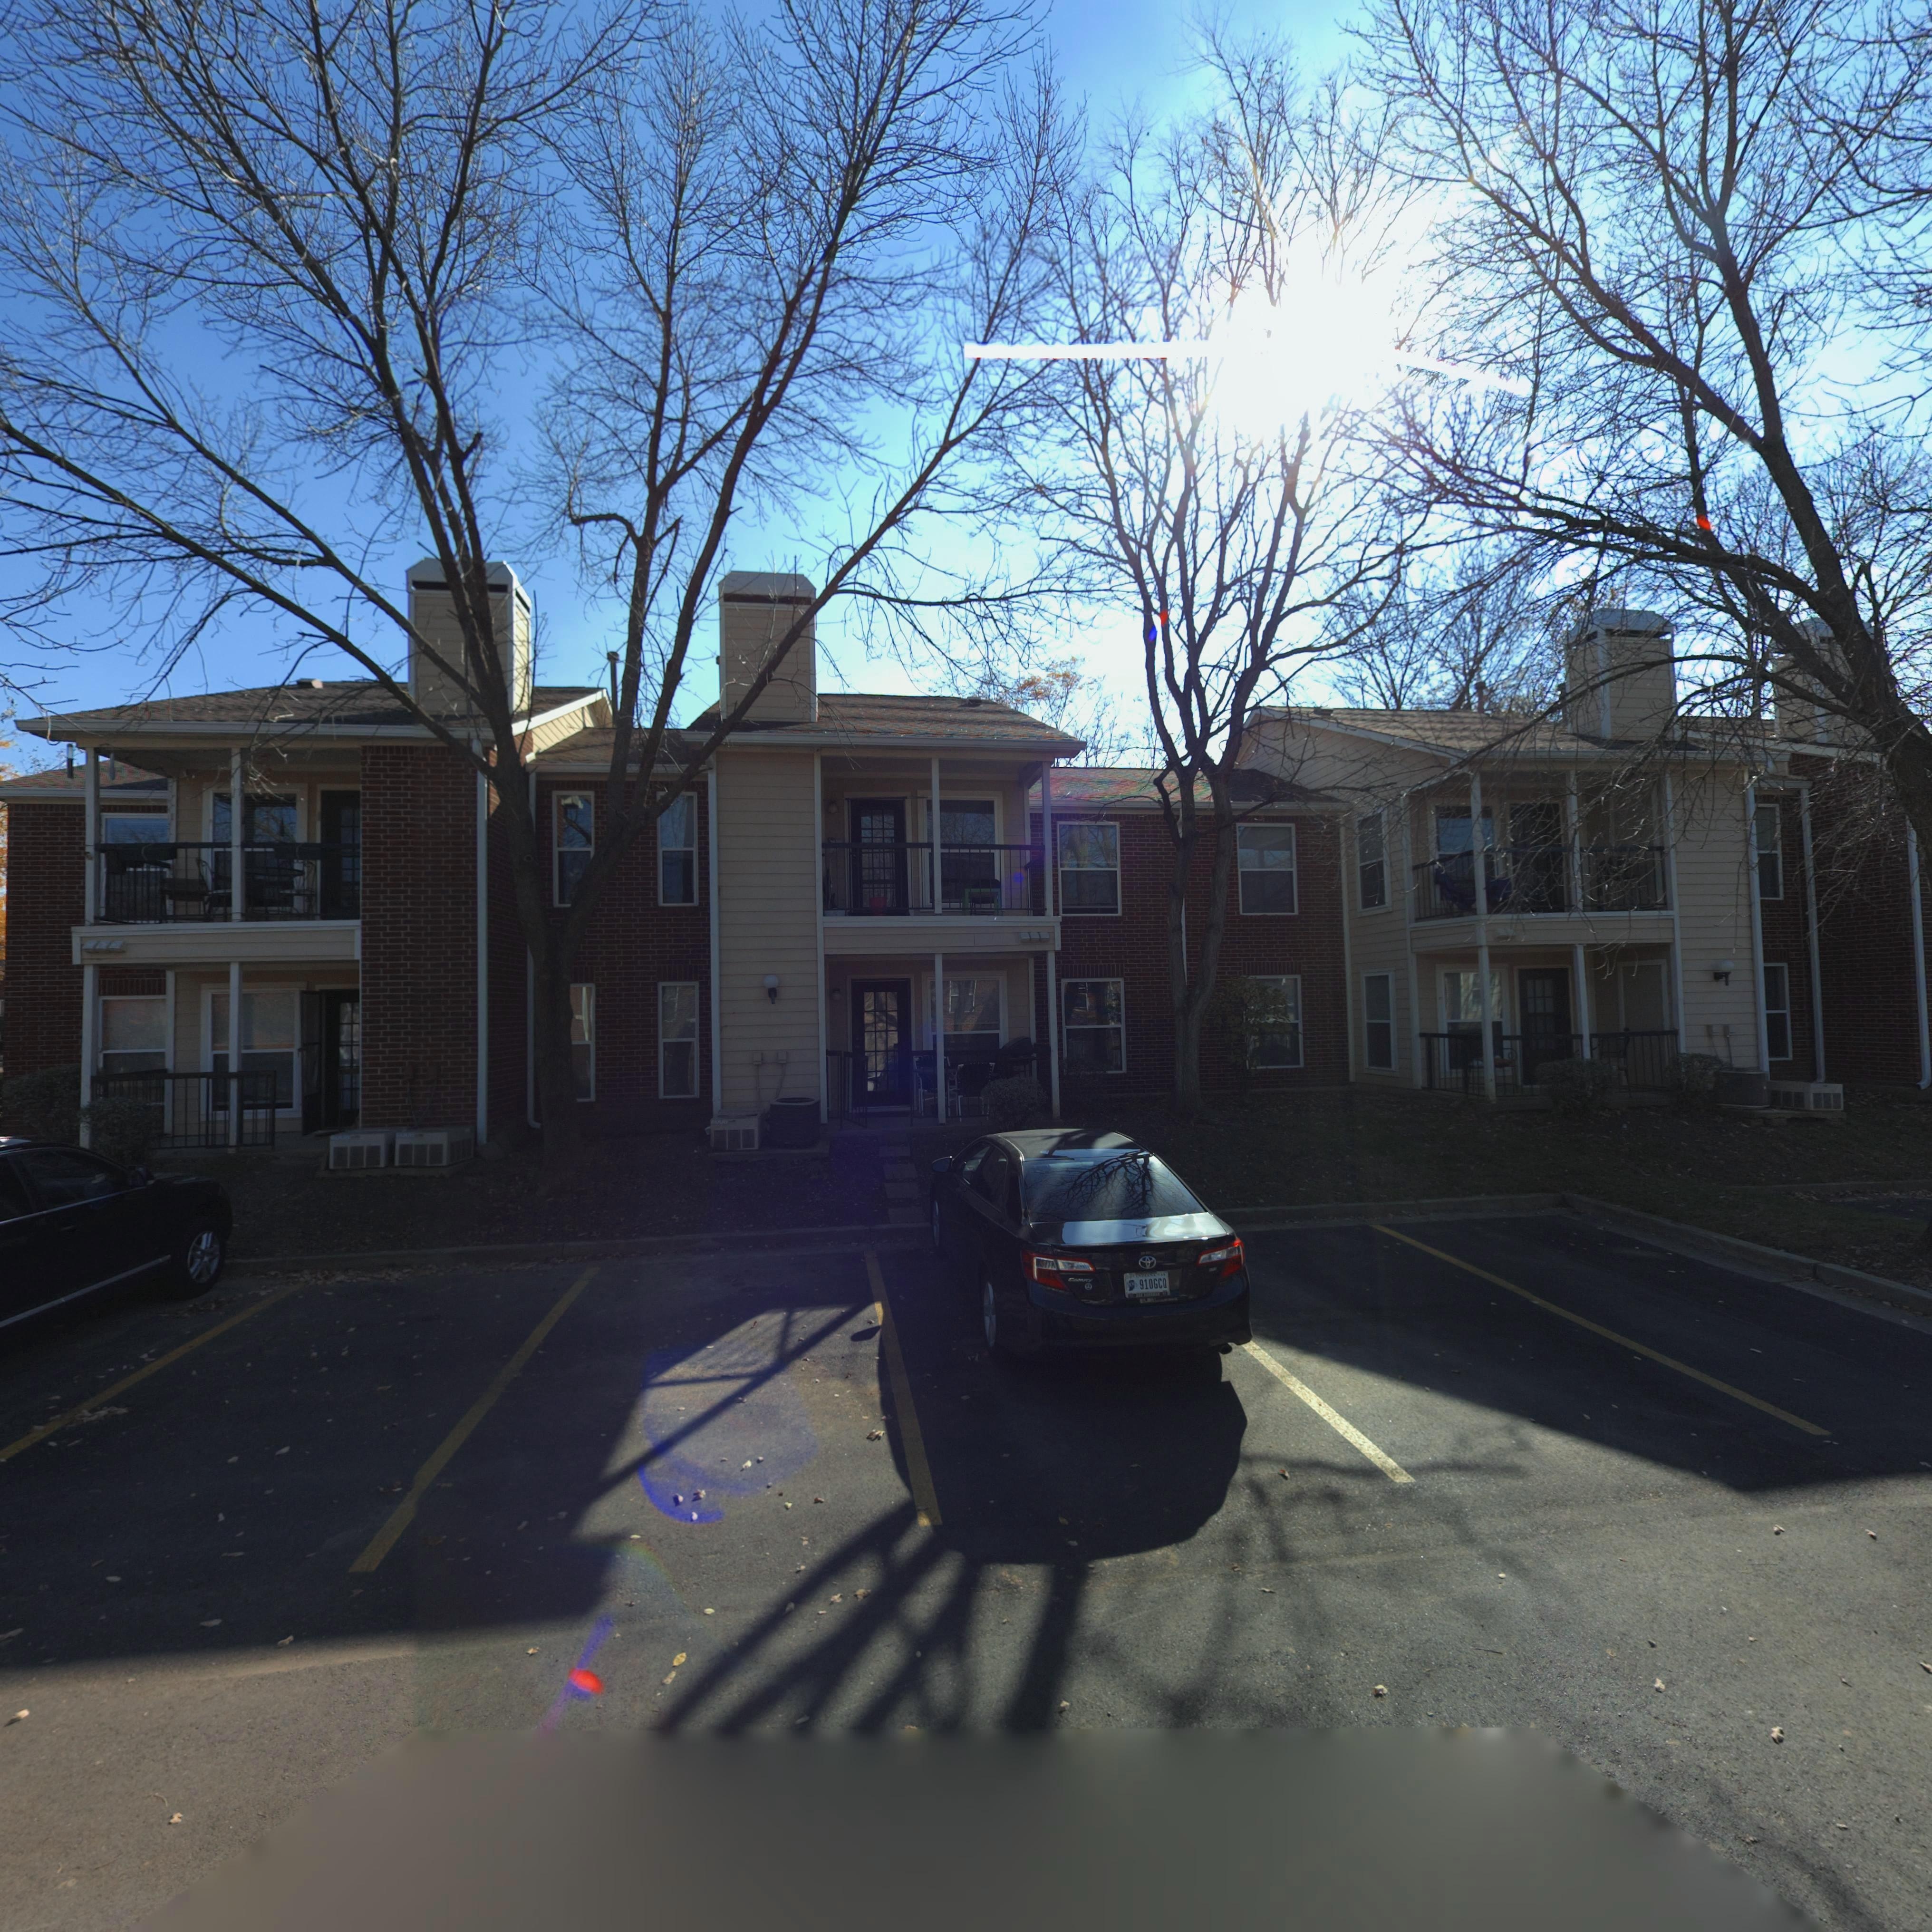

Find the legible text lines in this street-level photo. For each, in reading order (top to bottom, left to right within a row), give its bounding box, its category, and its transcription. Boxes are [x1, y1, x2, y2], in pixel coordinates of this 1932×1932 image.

[1138, 1276, 1168, 1291] None: 910GCQ